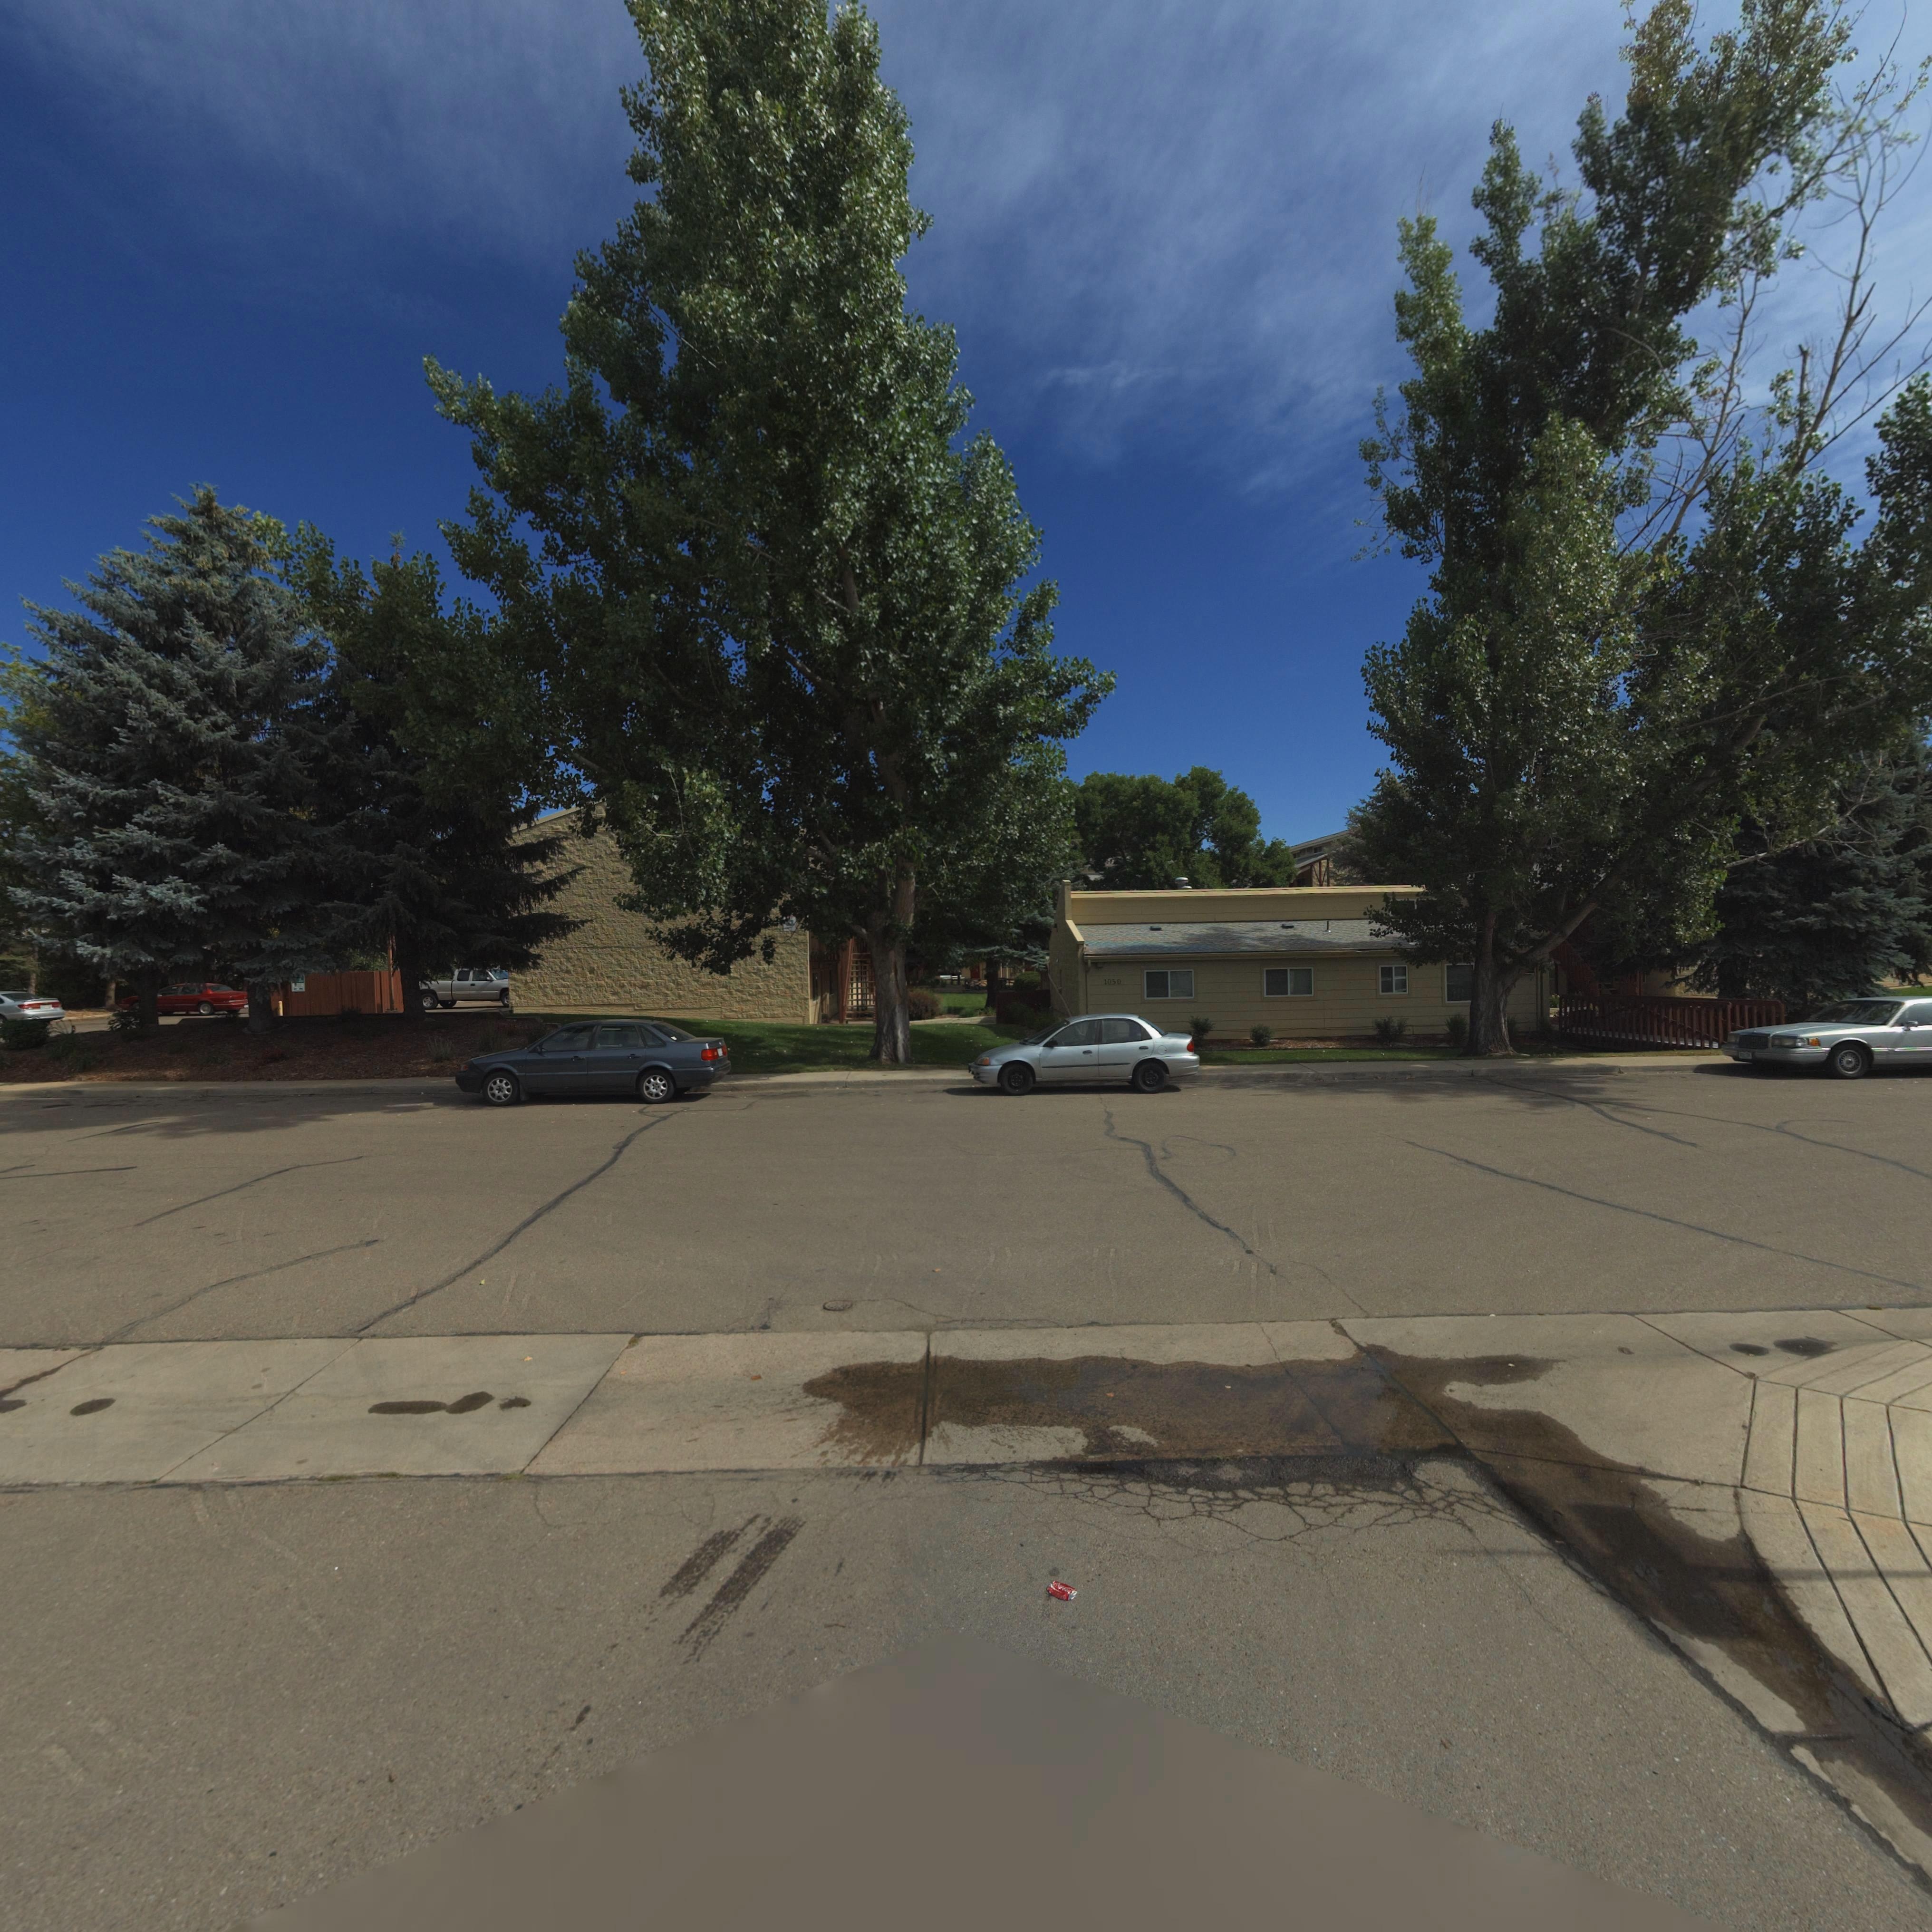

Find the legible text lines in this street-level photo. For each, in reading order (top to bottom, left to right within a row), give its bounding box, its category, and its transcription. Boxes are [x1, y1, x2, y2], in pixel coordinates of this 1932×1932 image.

[1103, 978, 1121, 985] StreetNumber: 1050